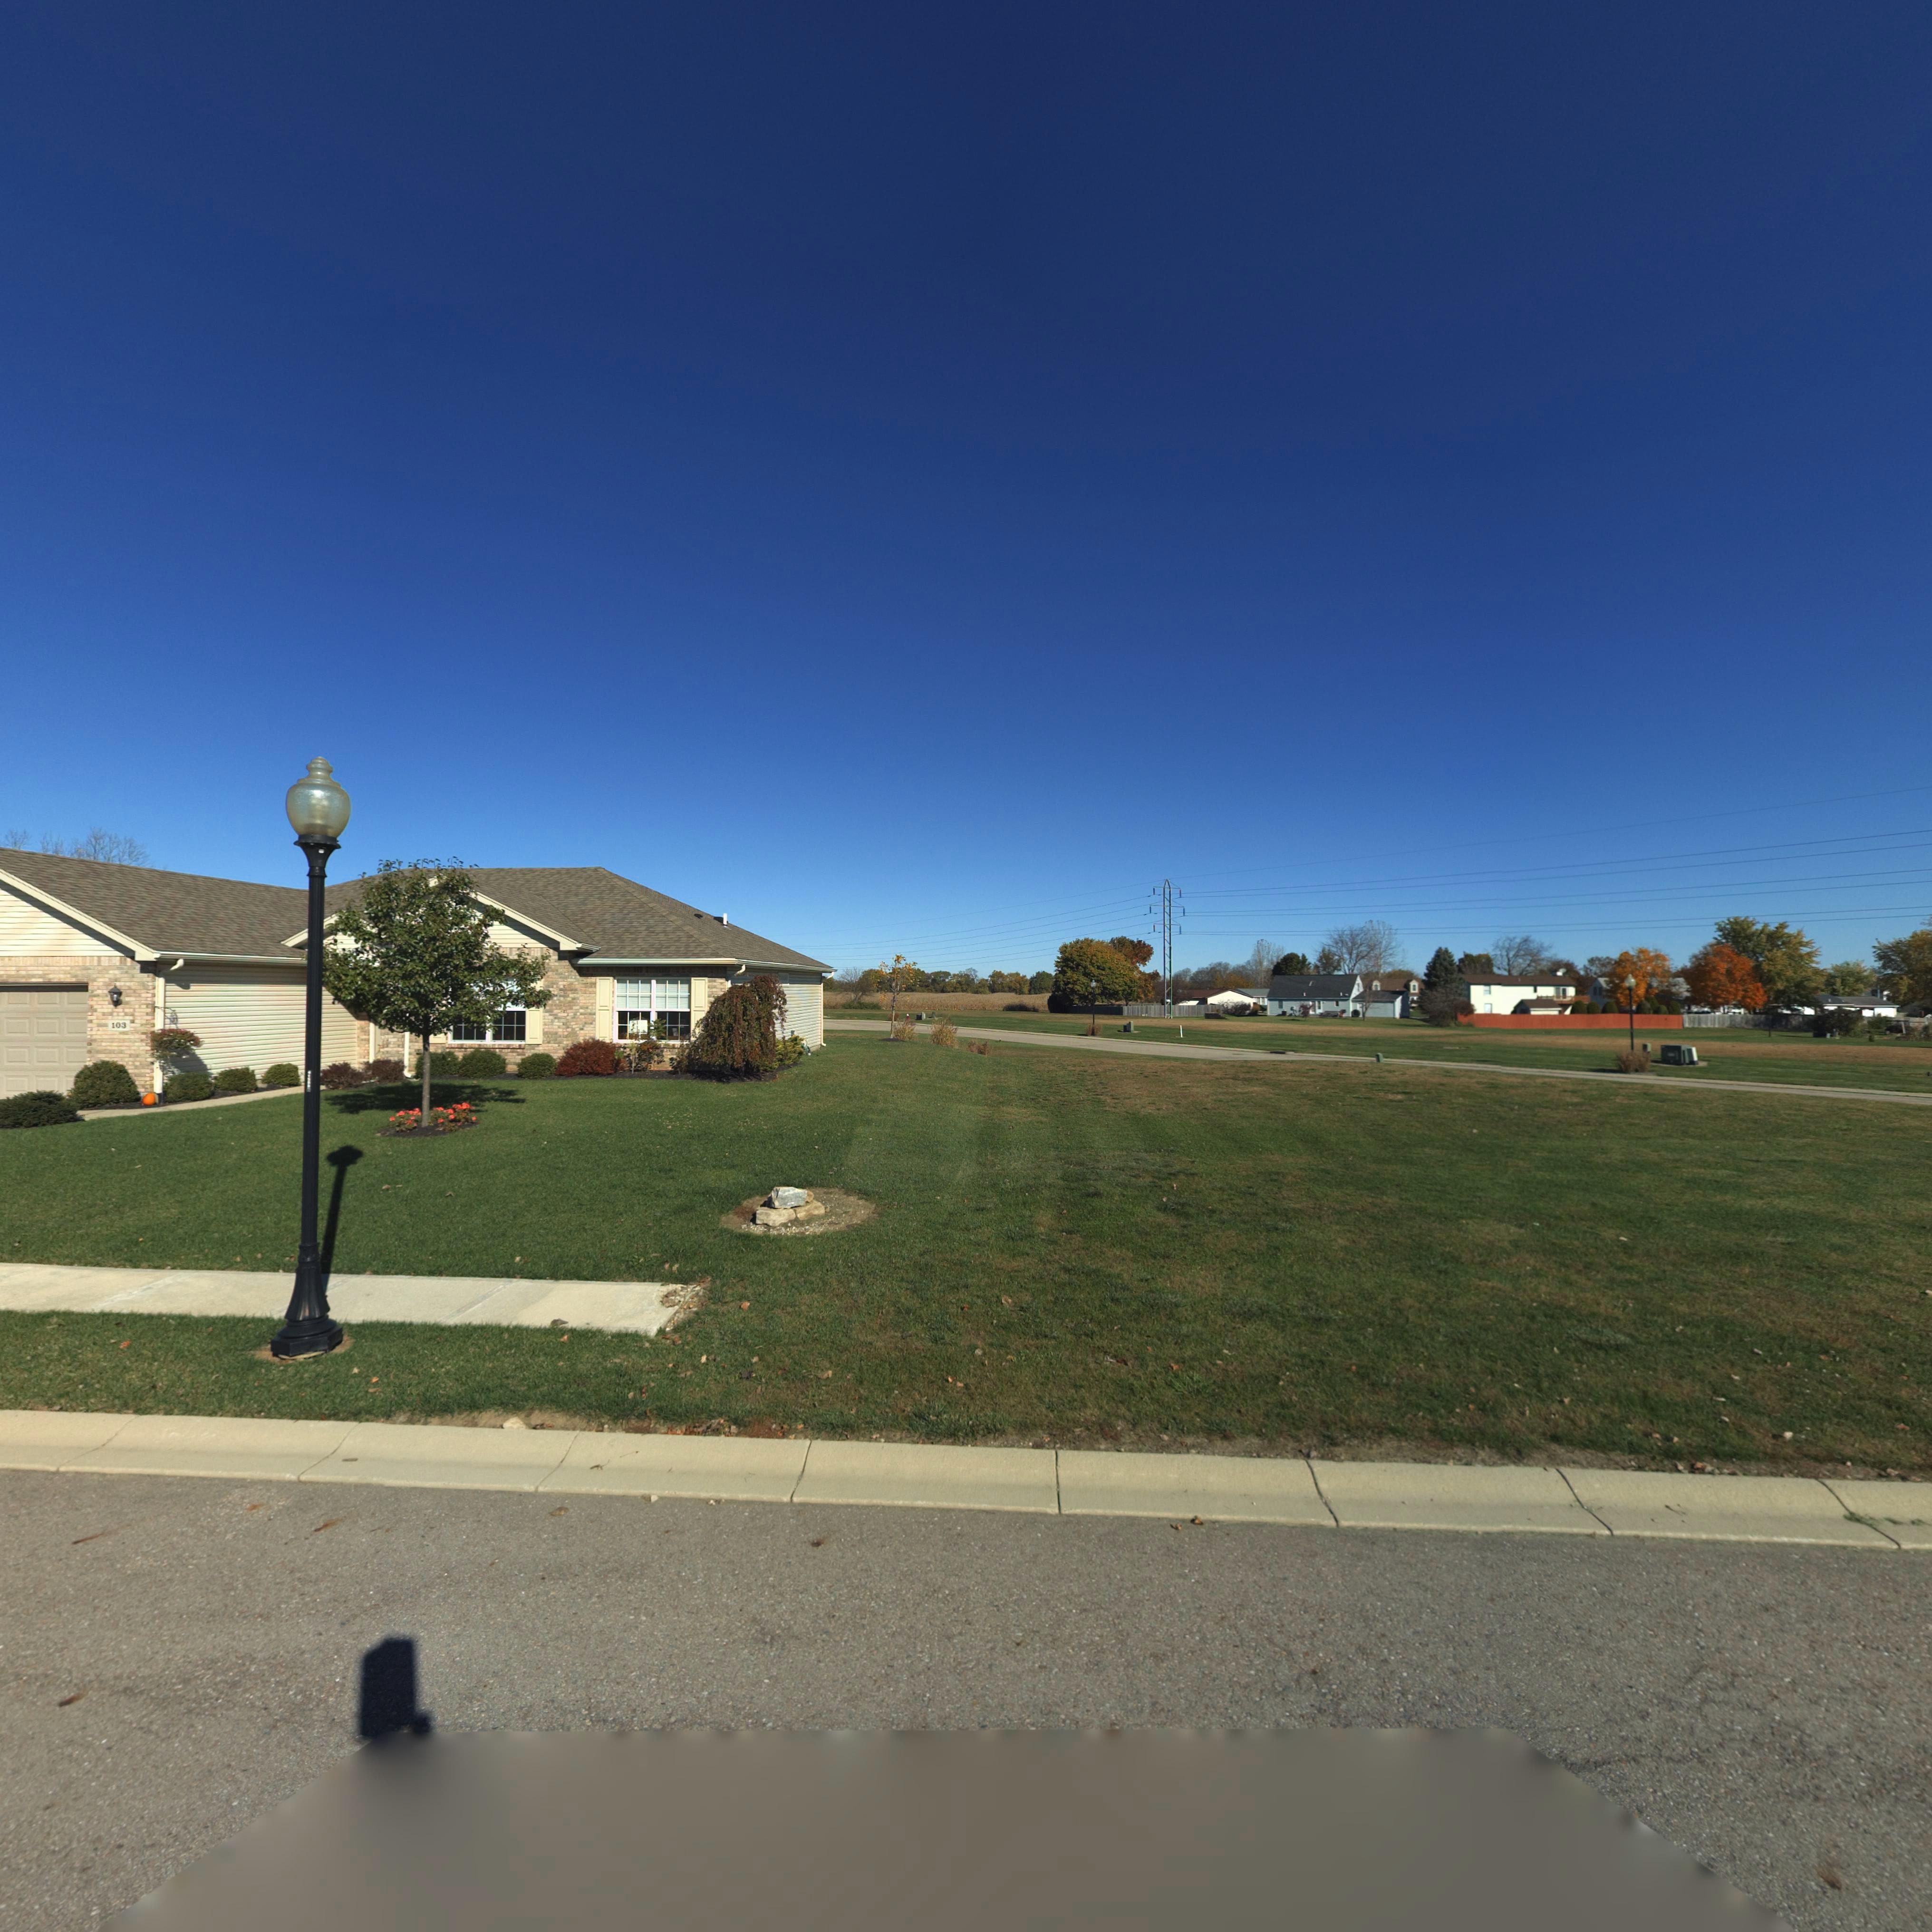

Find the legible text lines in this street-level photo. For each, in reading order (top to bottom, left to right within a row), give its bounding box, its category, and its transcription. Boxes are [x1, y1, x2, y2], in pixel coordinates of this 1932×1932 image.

[111, 1021, 127, 1029] StreetNumber: 103